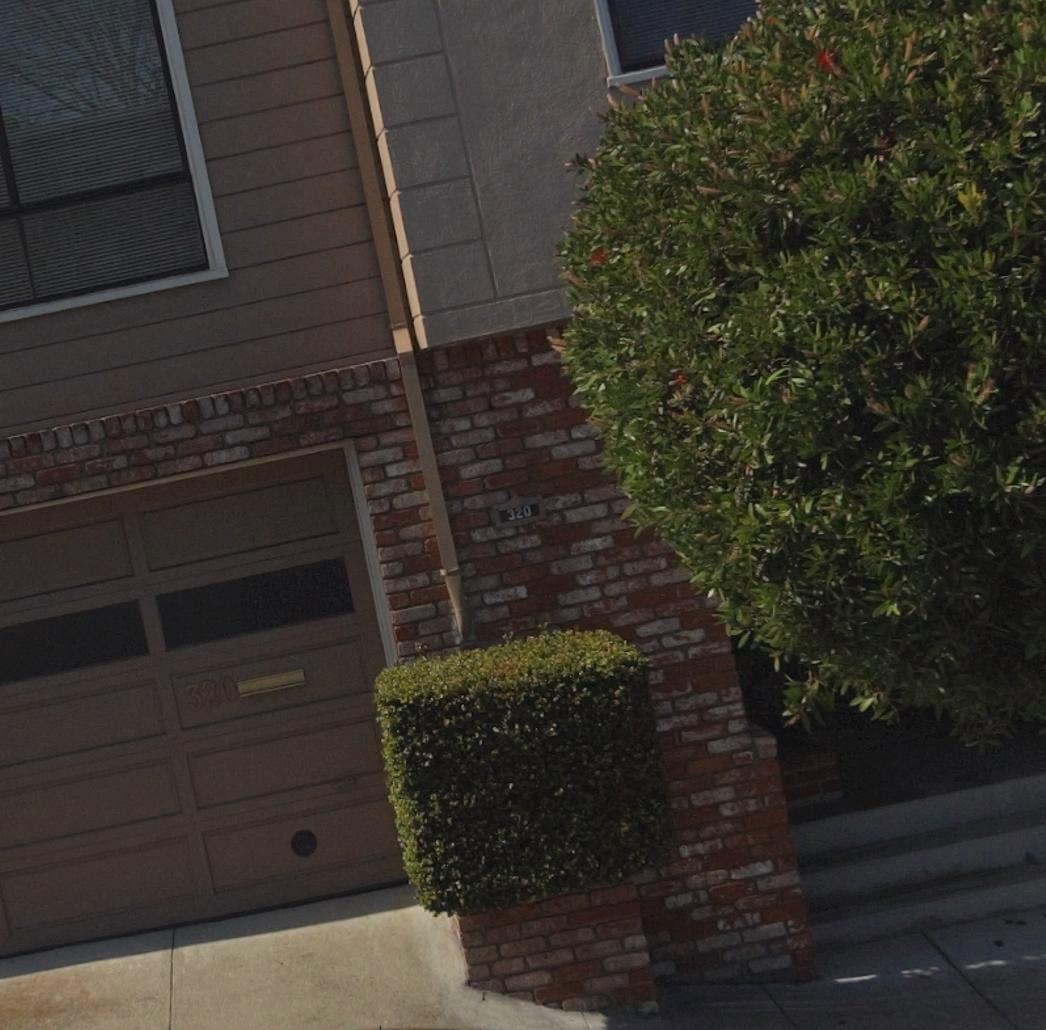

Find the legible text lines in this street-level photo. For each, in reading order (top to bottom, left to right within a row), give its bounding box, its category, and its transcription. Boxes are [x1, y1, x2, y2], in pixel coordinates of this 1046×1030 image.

[505, 502, 534, 523] StreetNumber: 320
[182, 671, 240, 714] StreetNumber: 320